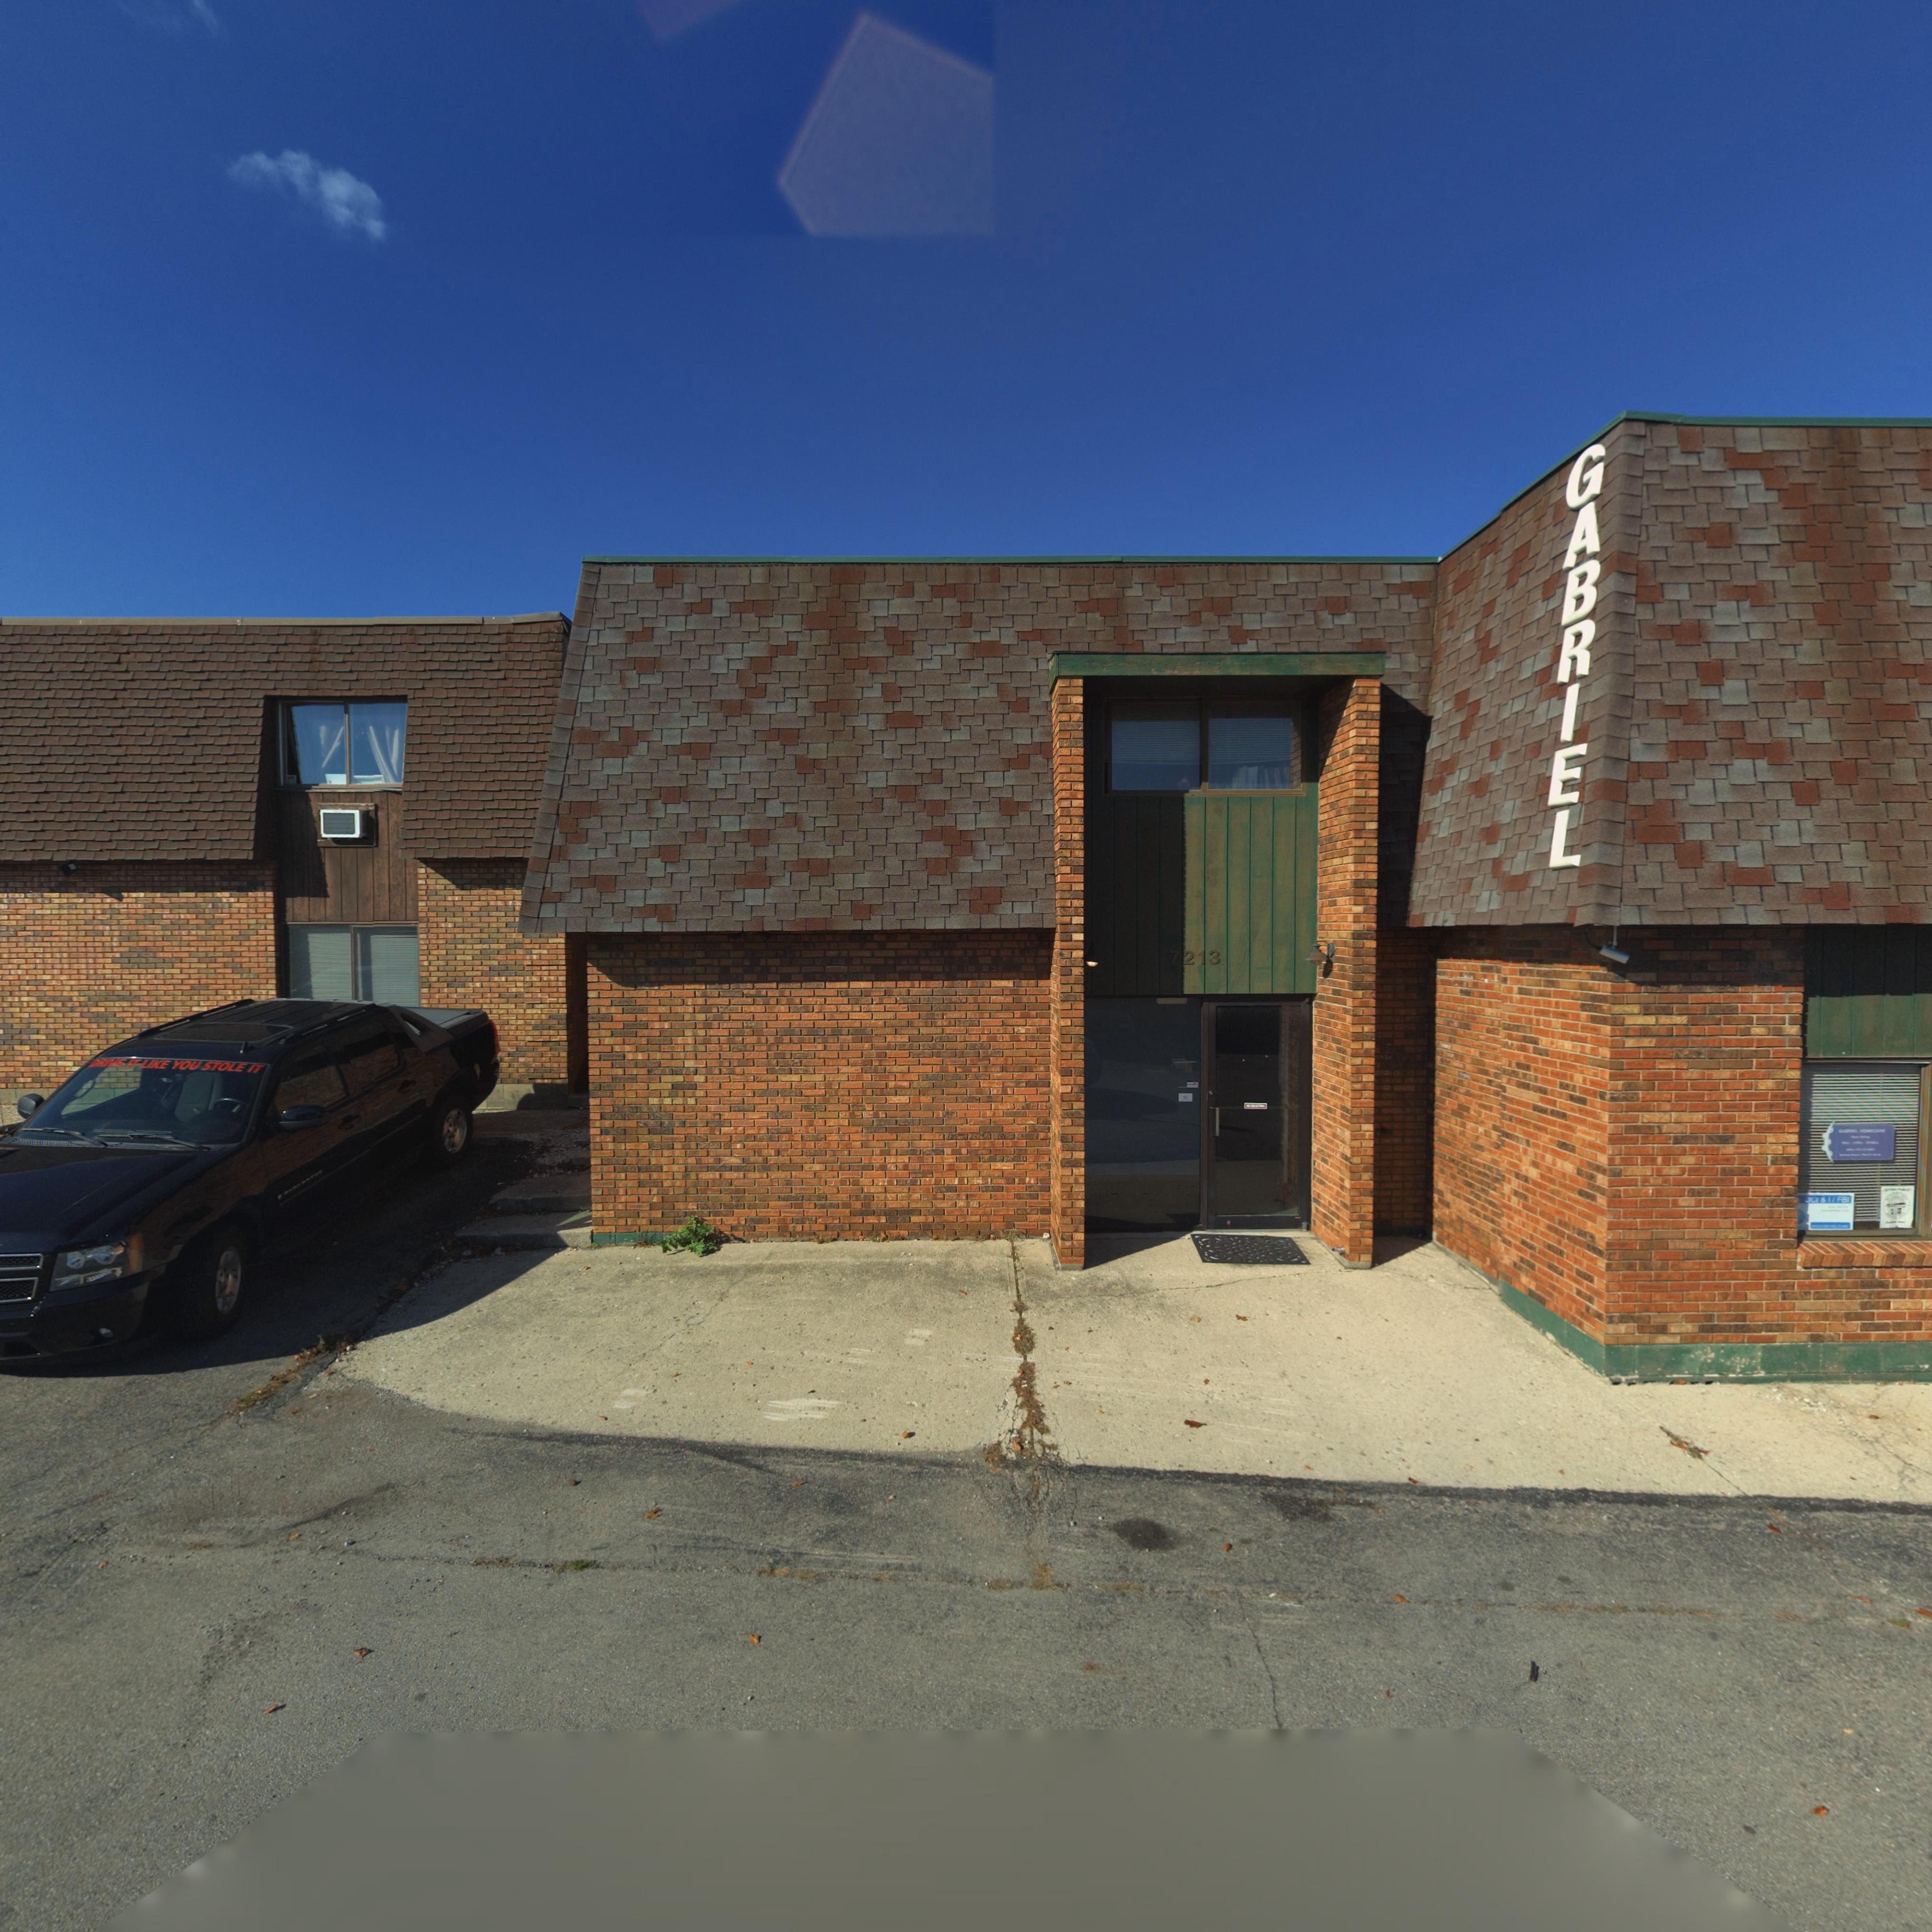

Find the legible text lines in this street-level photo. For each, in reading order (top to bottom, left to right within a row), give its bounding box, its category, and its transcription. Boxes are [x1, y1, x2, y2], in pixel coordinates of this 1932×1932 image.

[1543, 440, 1608, 873] BusinessName: GABRIEL
[1168, 949, 1220, 966] StreetNumber: 7213